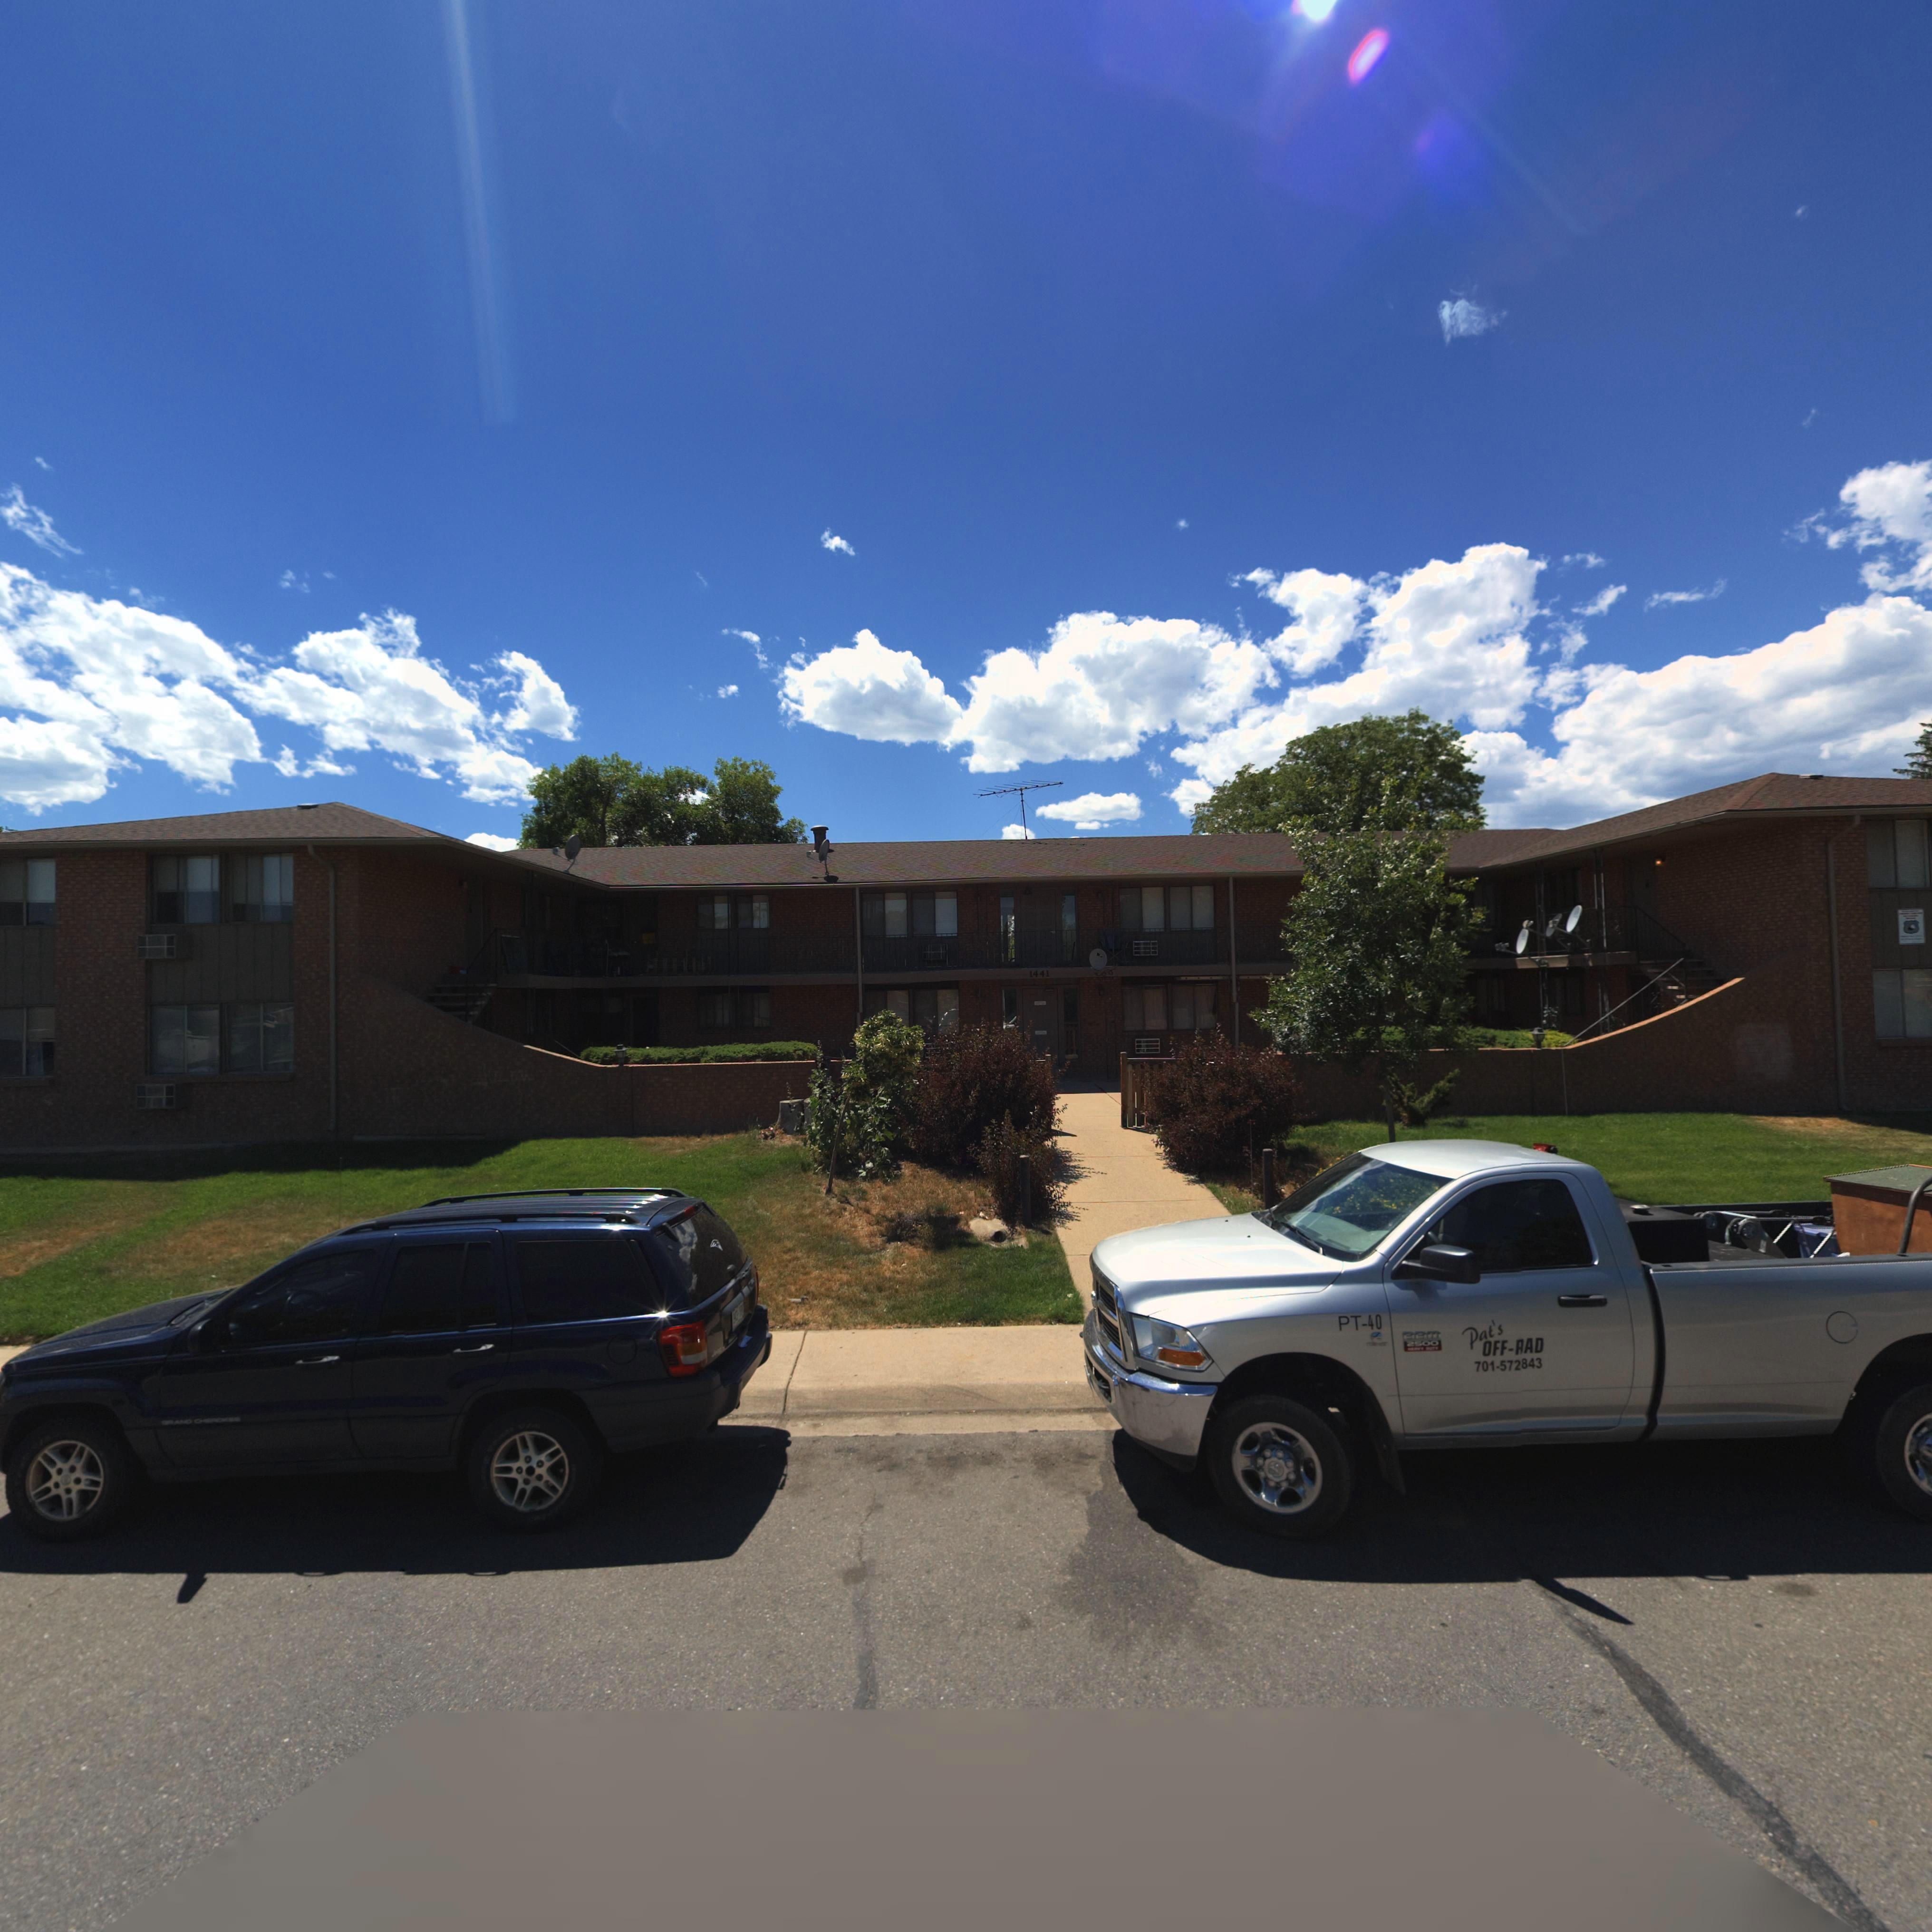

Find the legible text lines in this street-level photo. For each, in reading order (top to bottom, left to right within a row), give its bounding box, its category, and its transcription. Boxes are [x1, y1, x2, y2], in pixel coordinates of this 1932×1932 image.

[1029, 969, 1050, 977] StreetNumber: 1441